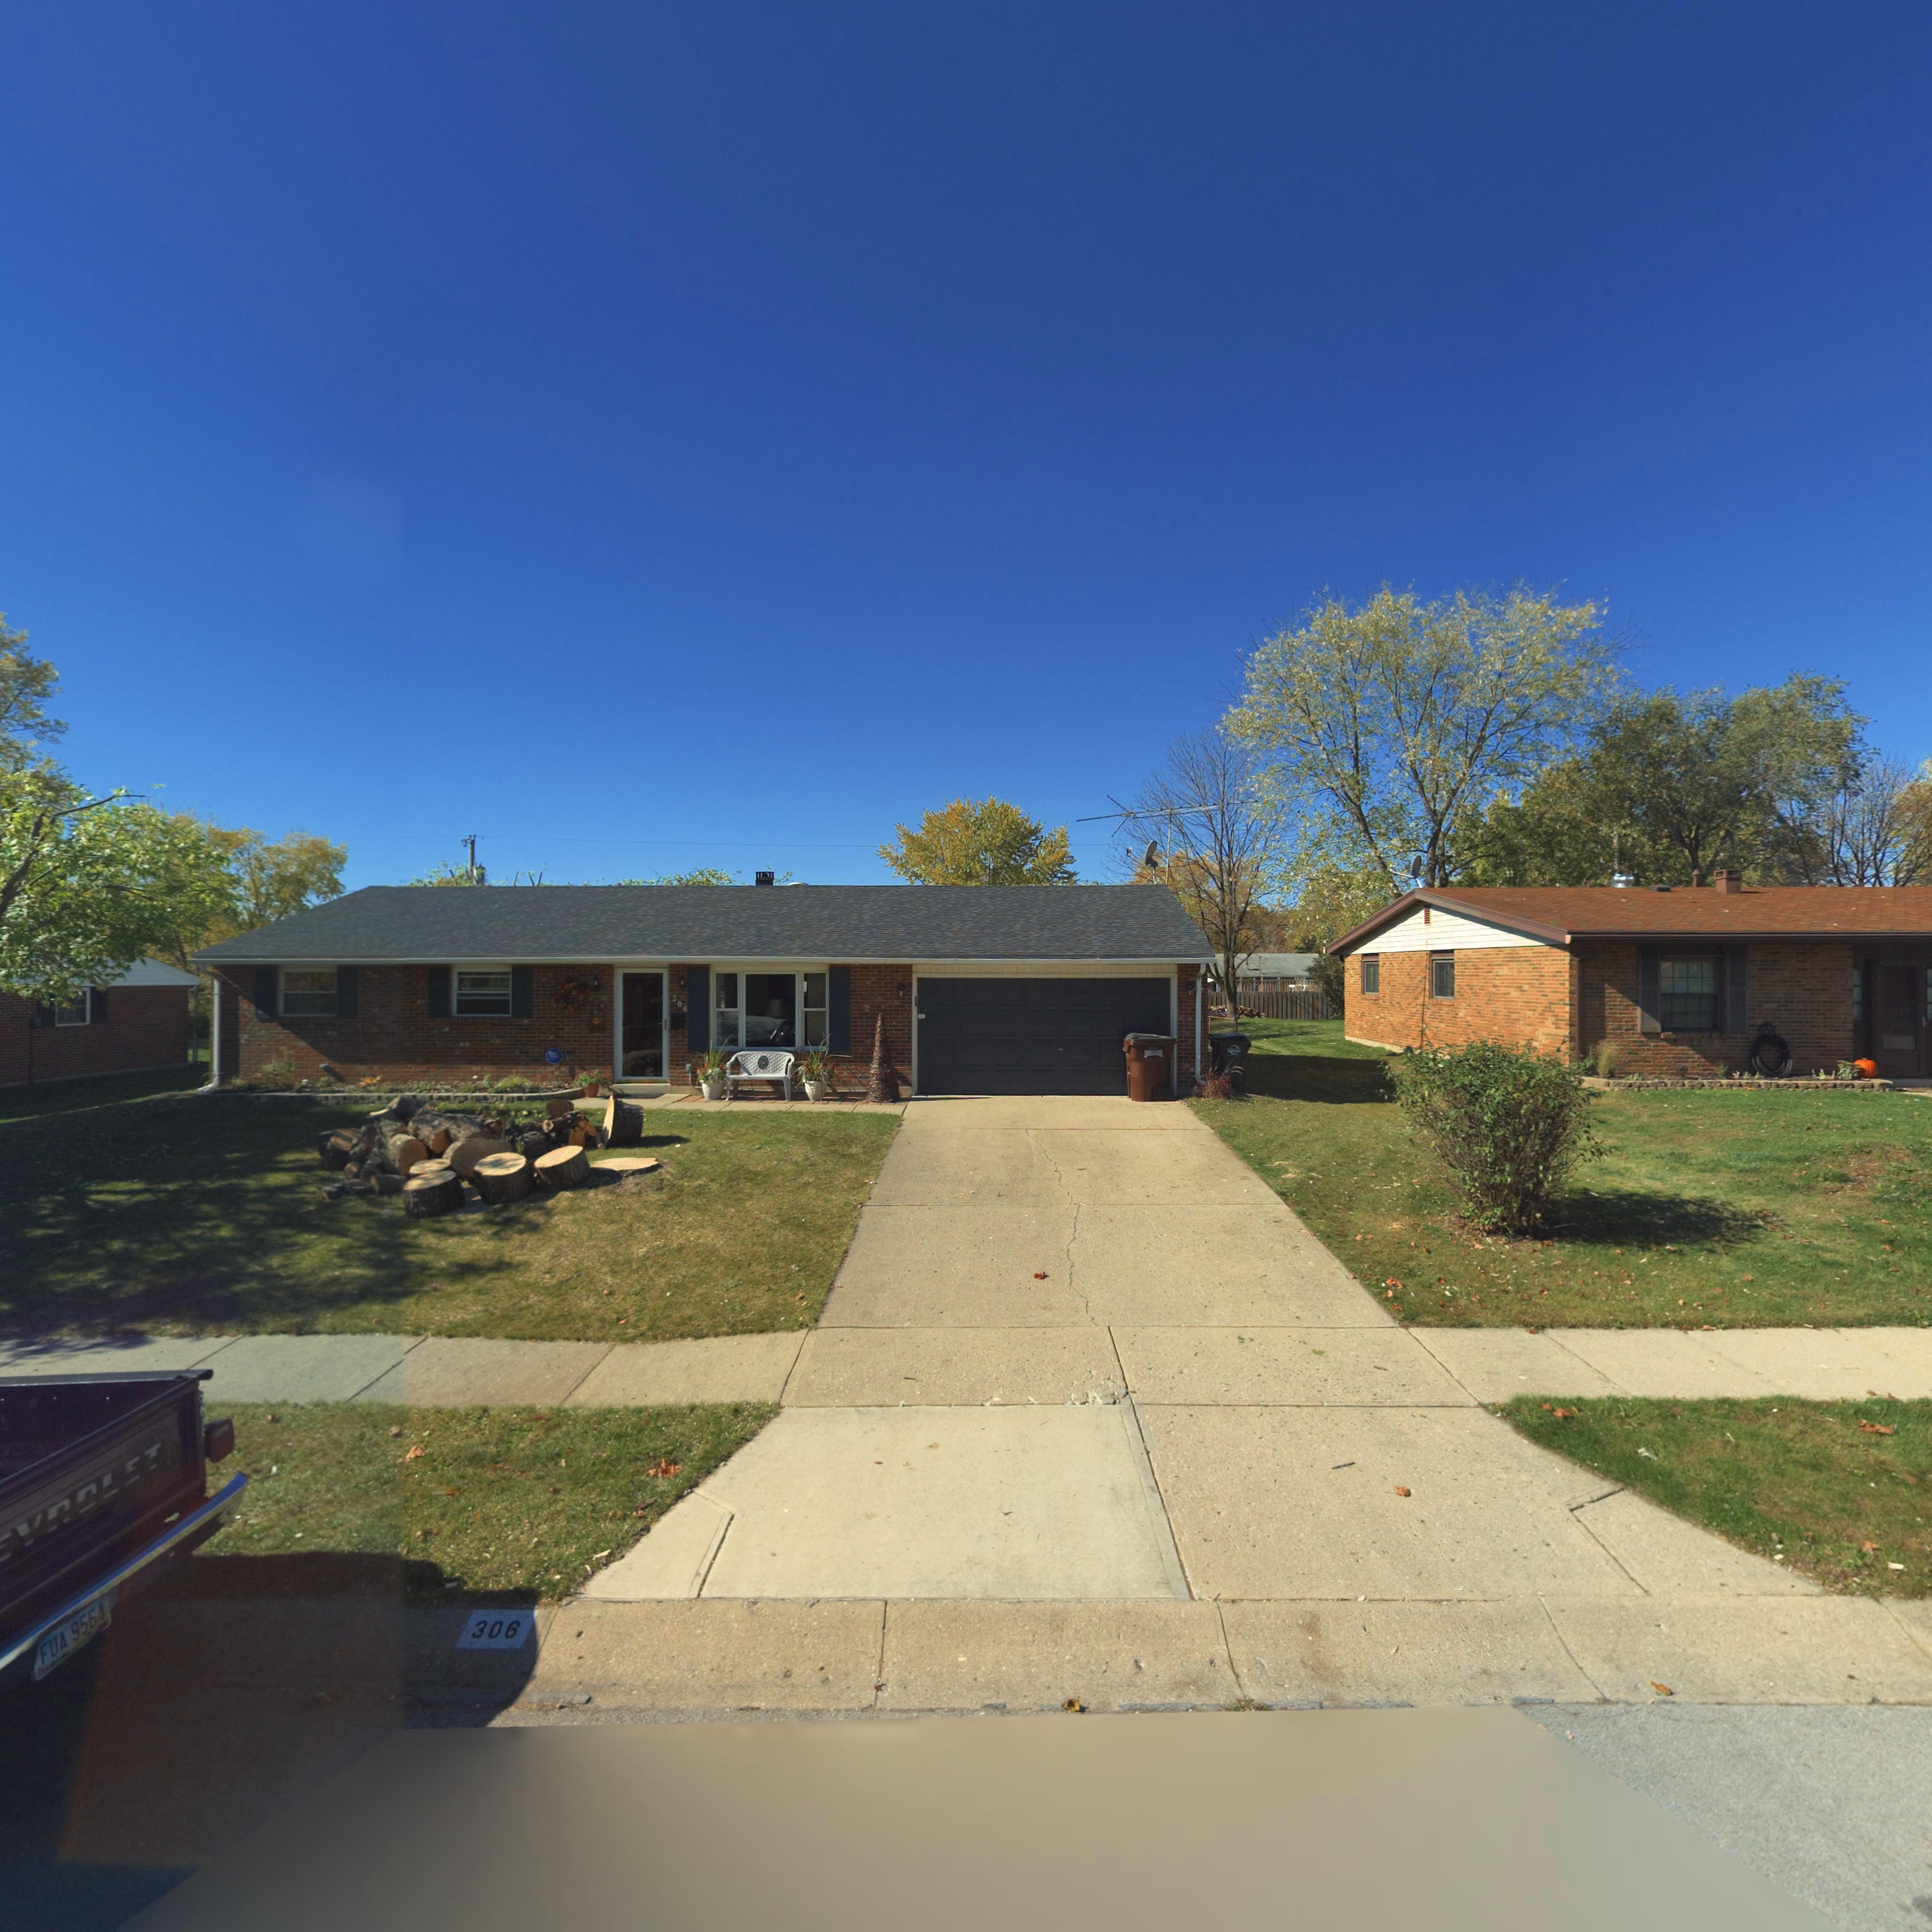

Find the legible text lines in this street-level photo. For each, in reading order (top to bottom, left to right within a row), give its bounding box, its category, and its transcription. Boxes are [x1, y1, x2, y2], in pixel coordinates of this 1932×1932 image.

[672, 995, 688, 1013] StreetNumber: 306
[471, 1619, 522, 1640] StreetNumber: 306